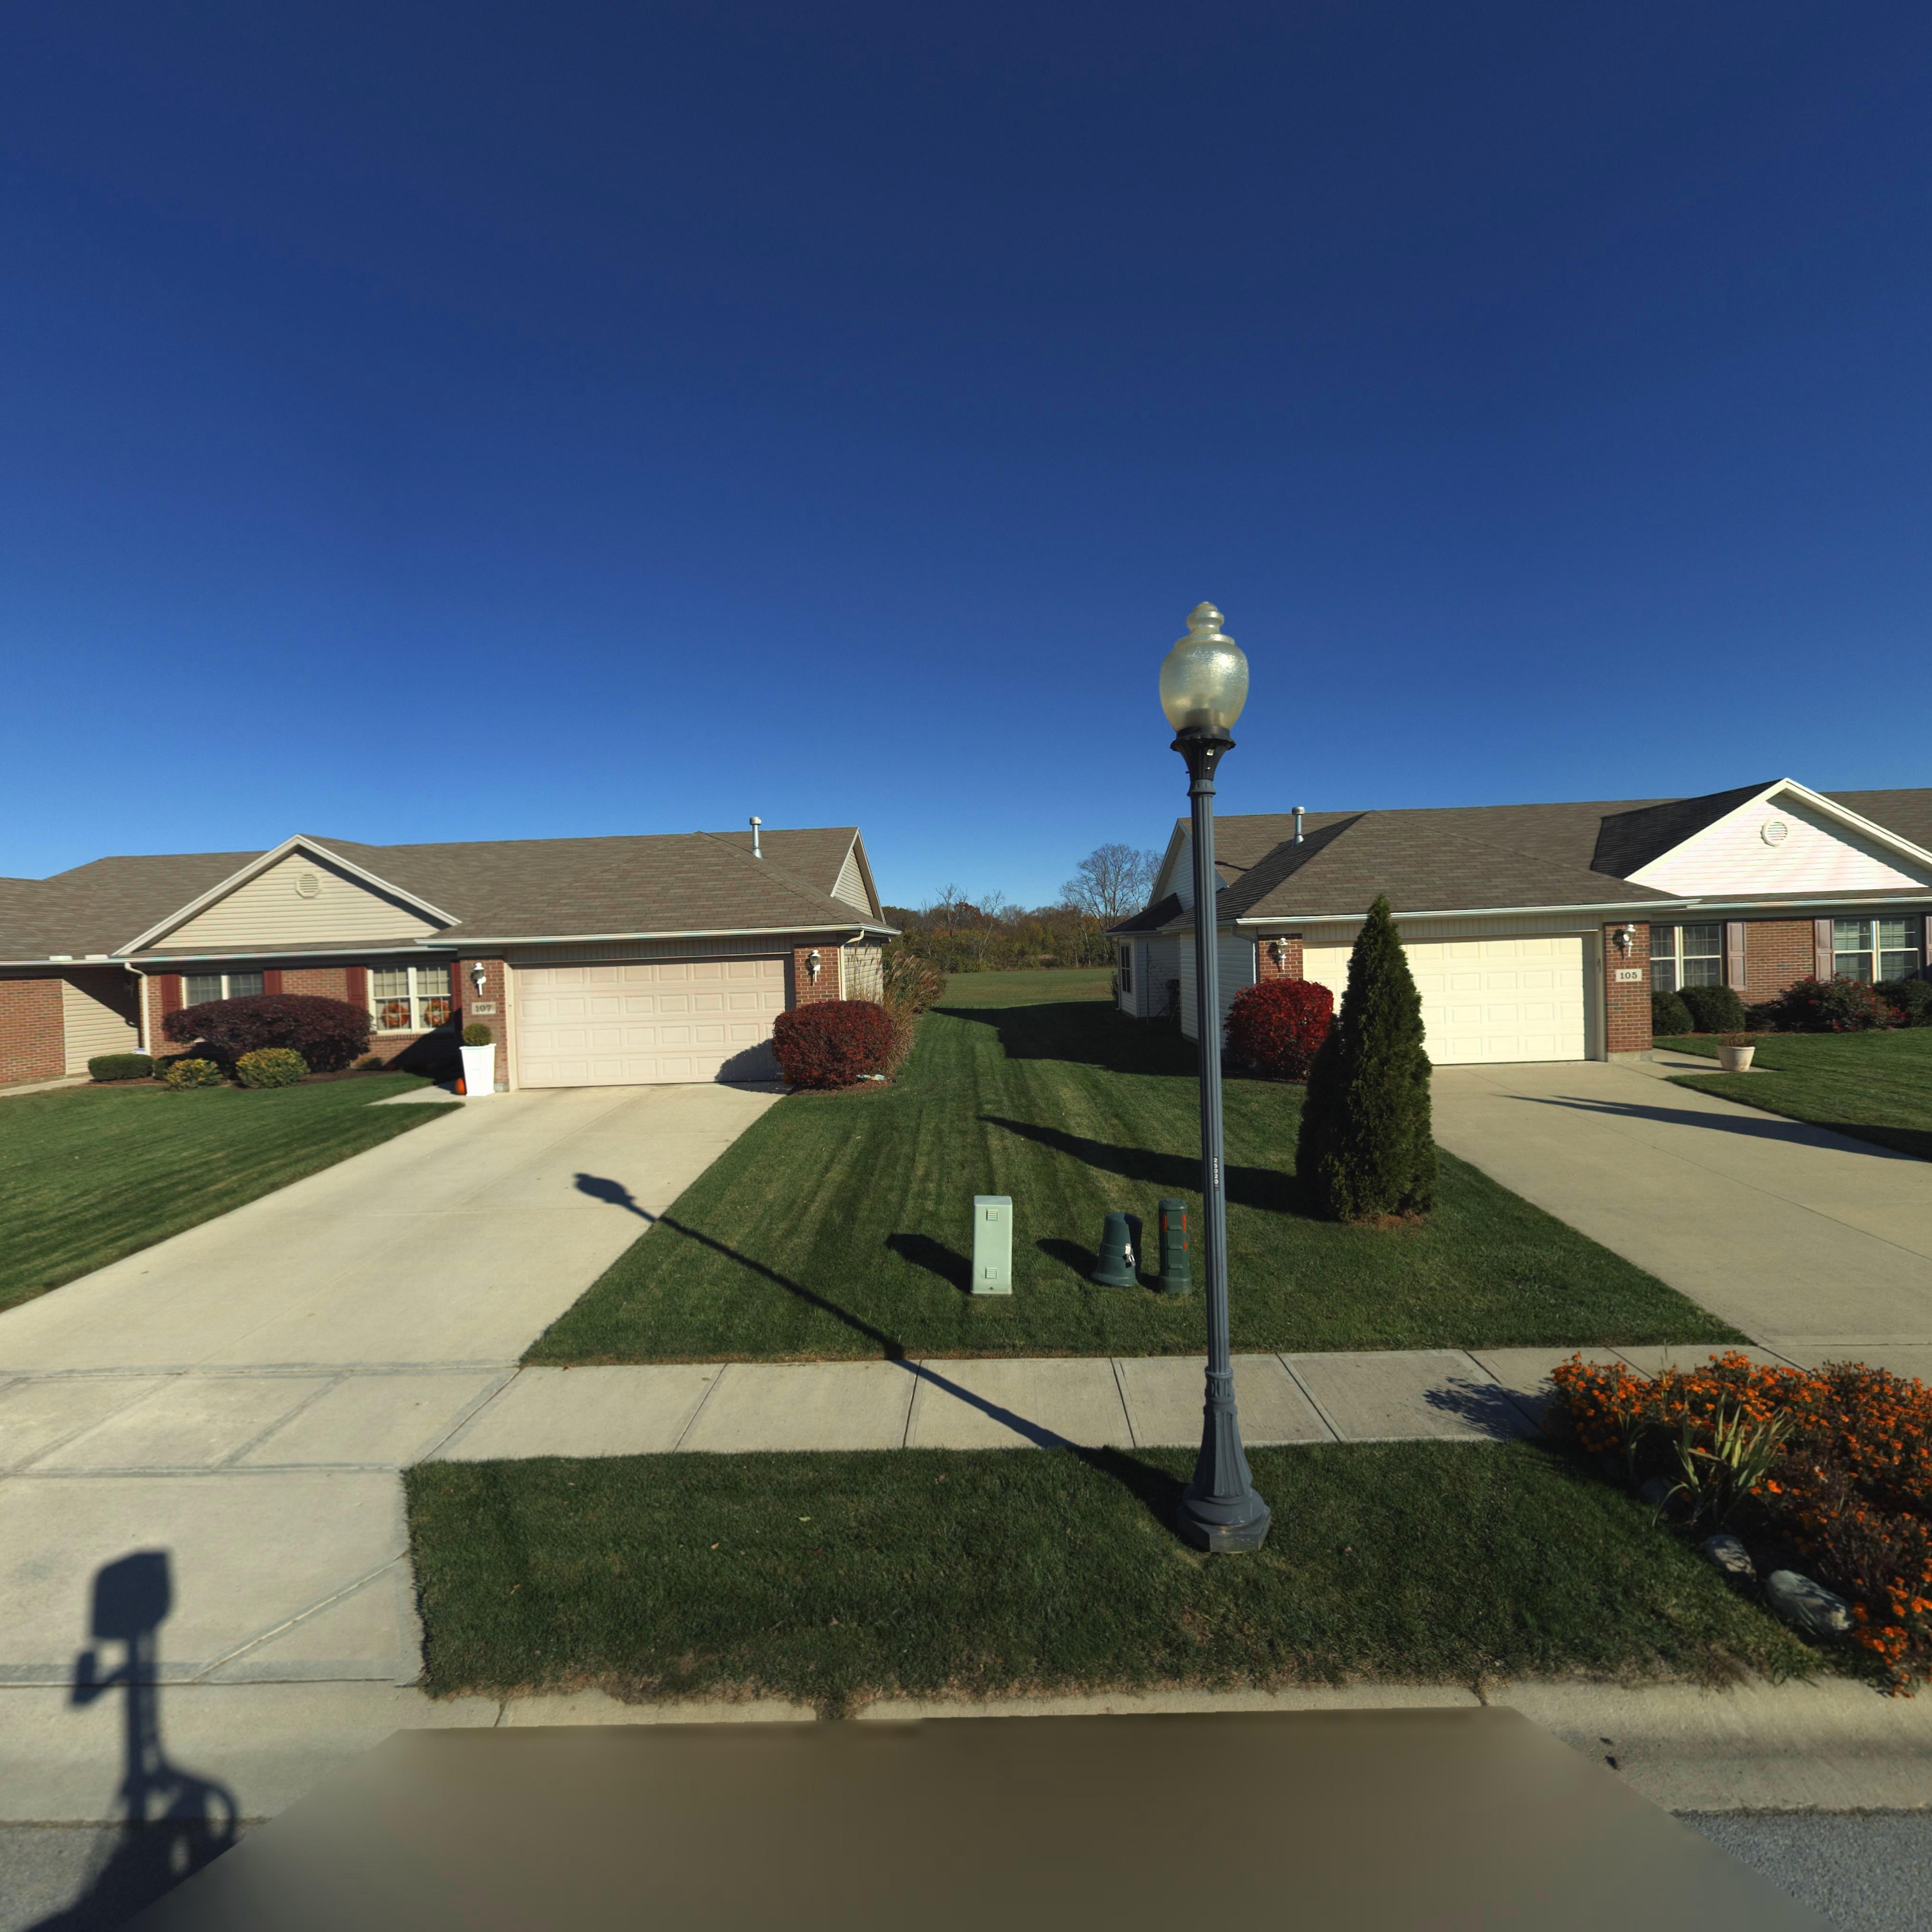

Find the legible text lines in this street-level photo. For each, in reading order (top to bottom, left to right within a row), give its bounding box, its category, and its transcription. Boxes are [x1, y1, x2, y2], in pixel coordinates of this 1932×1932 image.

[1619, 970, 1639, 981] StreetNumber: 105
[474, 1004, 493, 1013] StreetNumber: 107